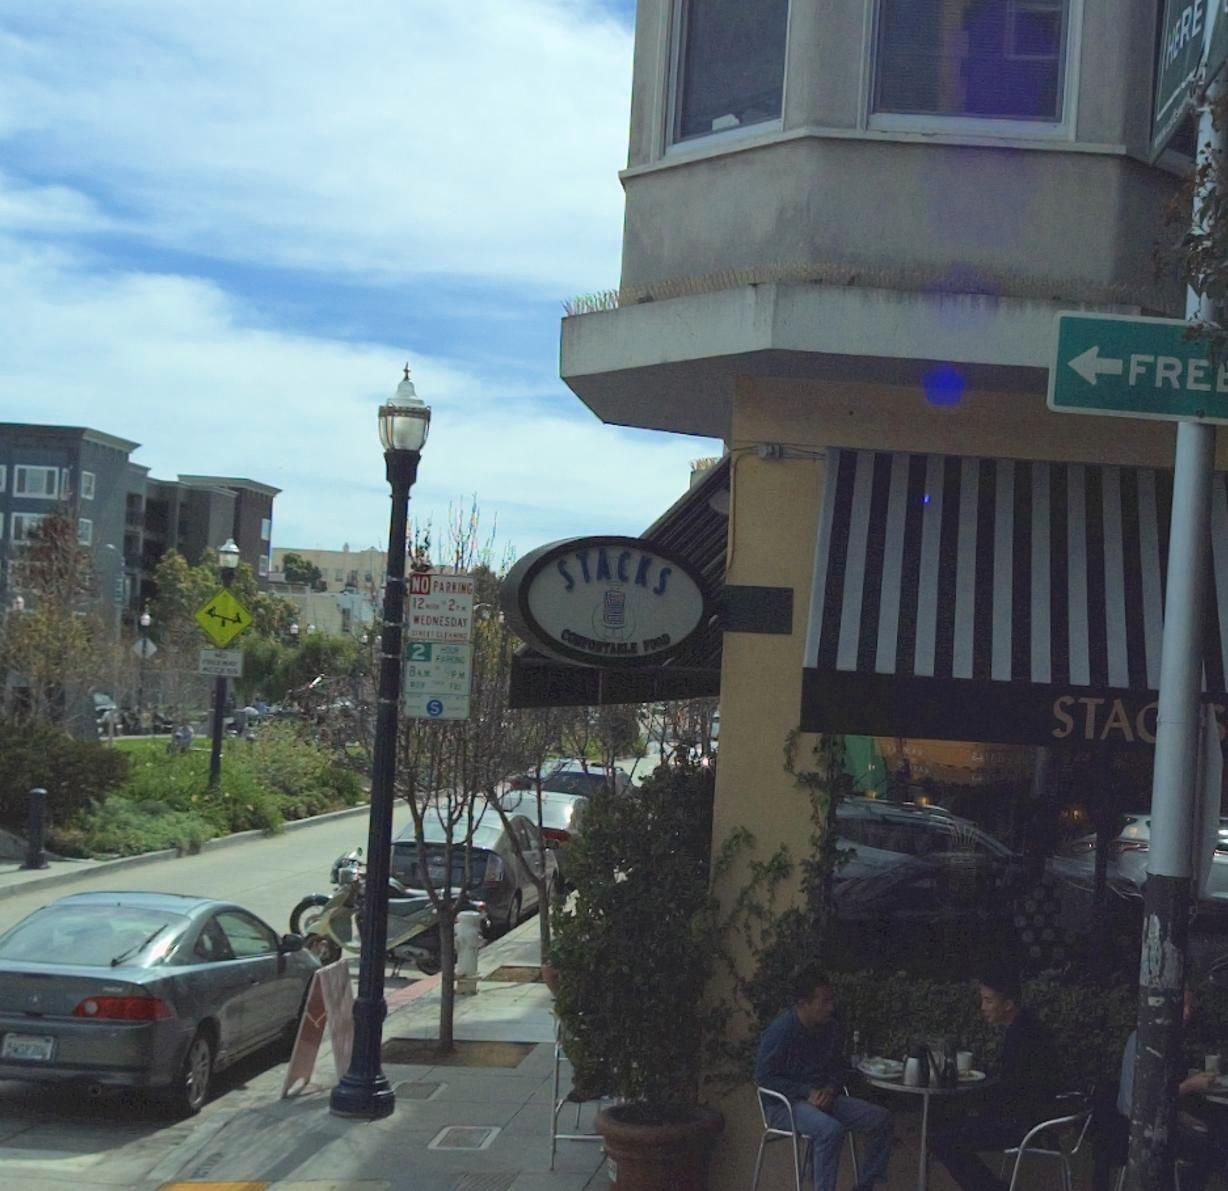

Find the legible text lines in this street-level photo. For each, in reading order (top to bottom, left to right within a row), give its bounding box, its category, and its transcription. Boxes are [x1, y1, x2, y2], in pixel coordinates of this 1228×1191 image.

[1163, 0, 1206, 75] None: HERE
[1122, 349, 1217, 397] None: FRE
[409, 574, 475, 597] None: NO PARKING
[553, 544, 678, 600] BusinessName: STACKS
[407, 595, 471, 616] None: 12** ** 2 P.M.
[409, 611, 471, 631] None: WEDNESDAY
[409, 642, 428, 662] None: 2
[556, 626, 675, 656] None: COMFORTABLE FOO
[1048, 692, 1140, 747] BusinessName: STA